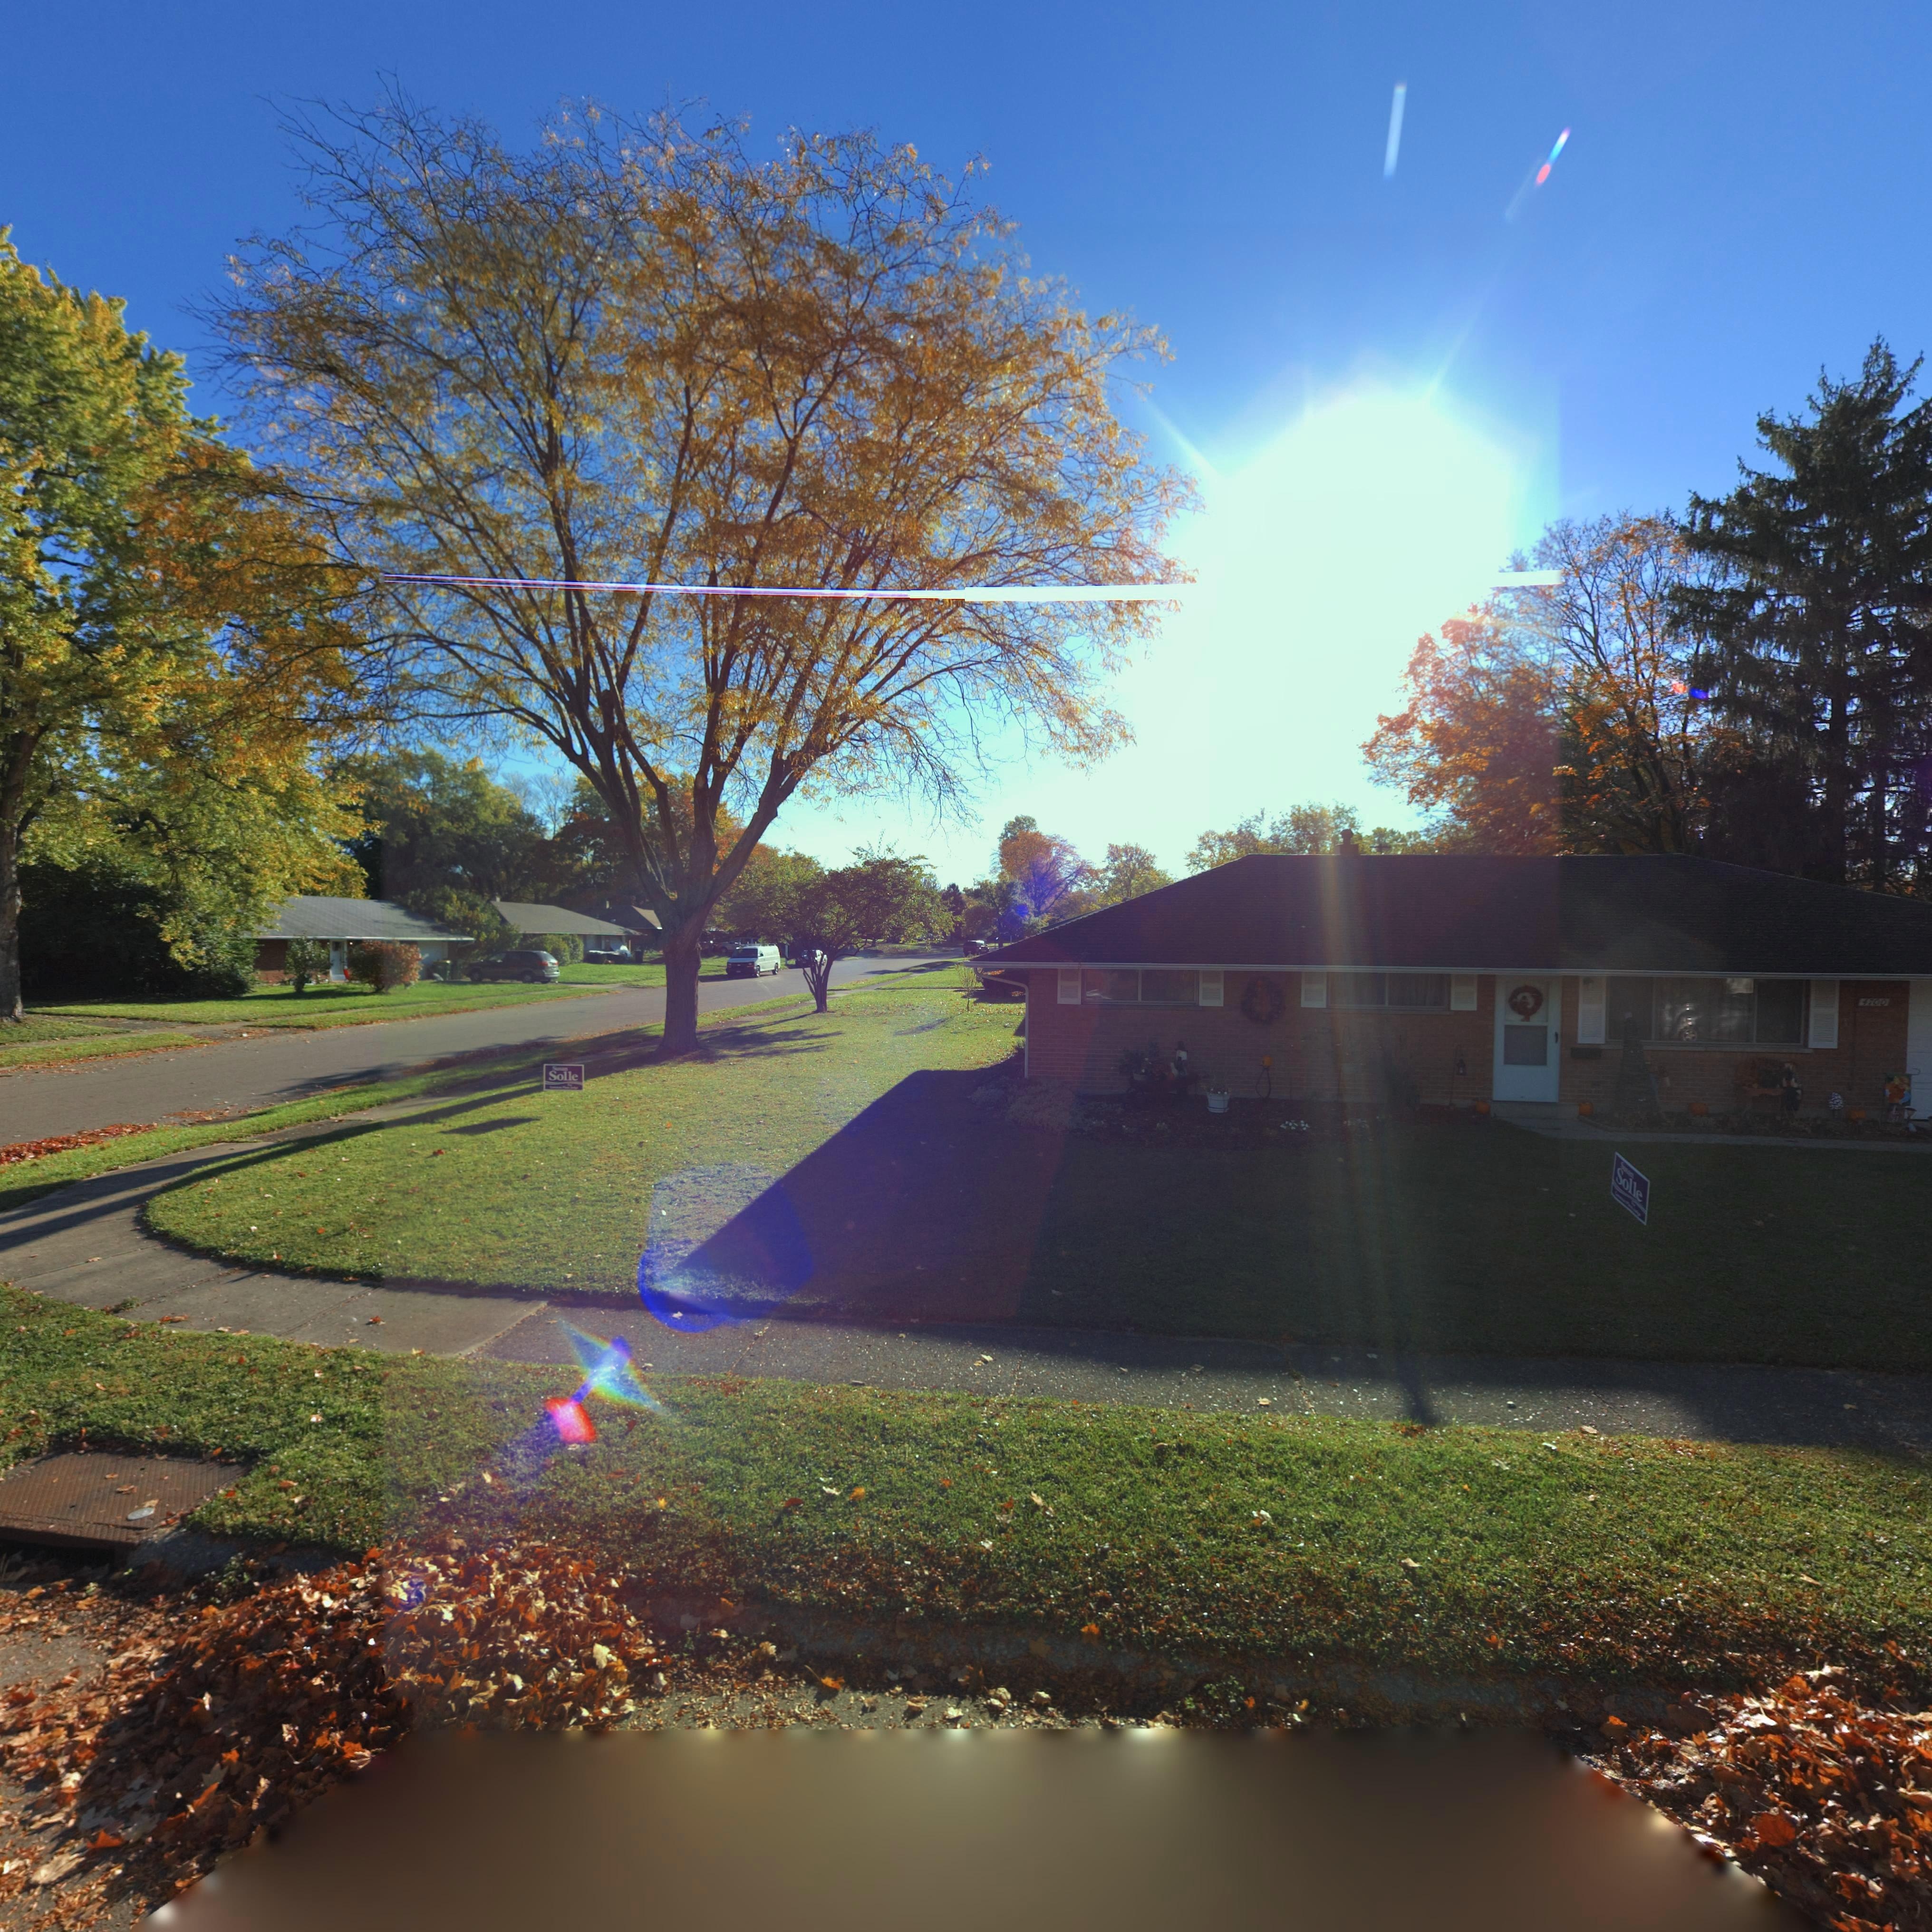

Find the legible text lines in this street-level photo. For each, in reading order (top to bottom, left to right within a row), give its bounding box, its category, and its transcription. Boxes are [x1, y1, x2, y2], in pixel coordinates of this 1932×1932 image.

[1861, 997, 1887, 1006] StreetNumber: 4700